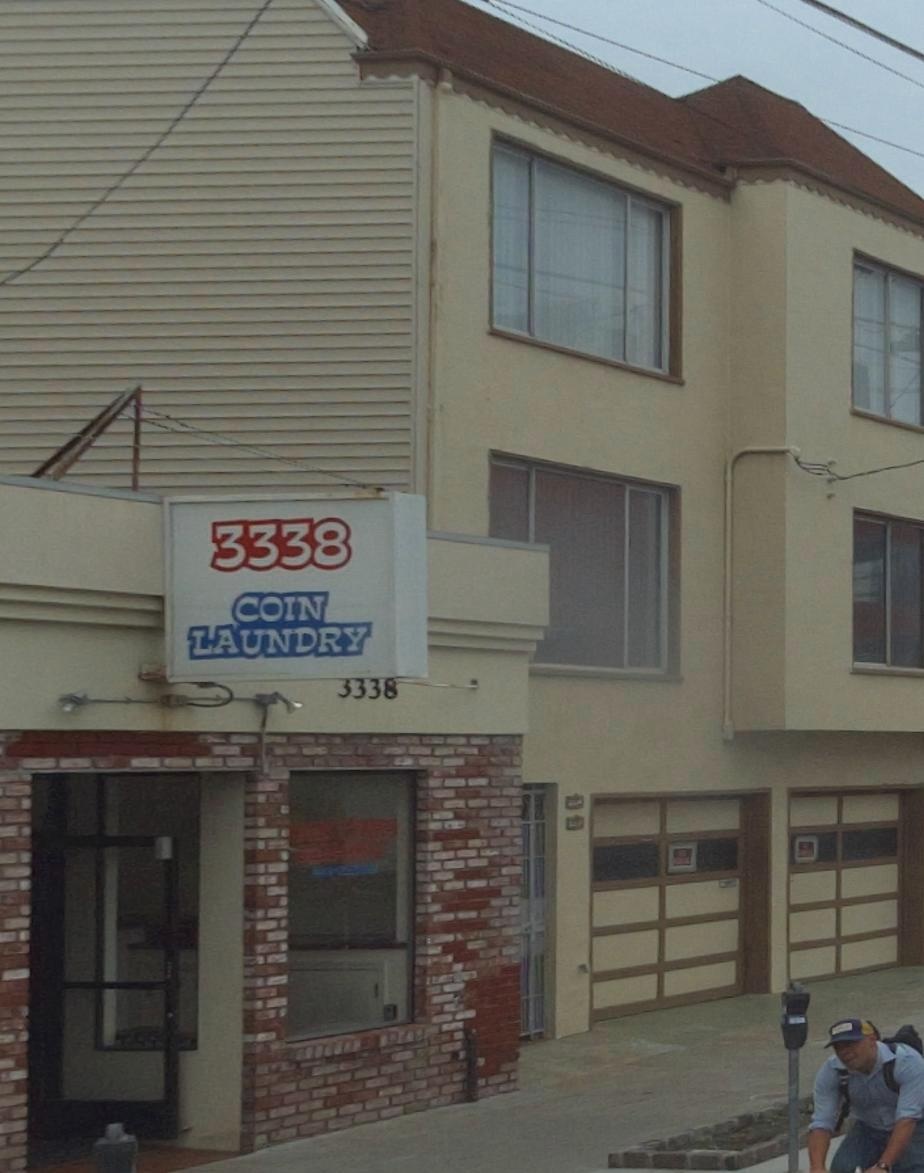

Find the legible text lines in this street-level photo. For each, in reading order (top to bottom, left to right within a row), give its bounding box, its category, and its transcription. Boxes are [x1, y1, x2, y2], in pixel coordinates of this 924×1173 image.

[208, 515, 355, 575] StreetNumber: 3338
[230, 589, 330, 625] BusinessName: COIN
[184, 621, 374, 662] BusinessName: LAUNDRY
[335, 676, 401, 701] StreetNumber: 3338
[677, 849, 688, 857] None: NO